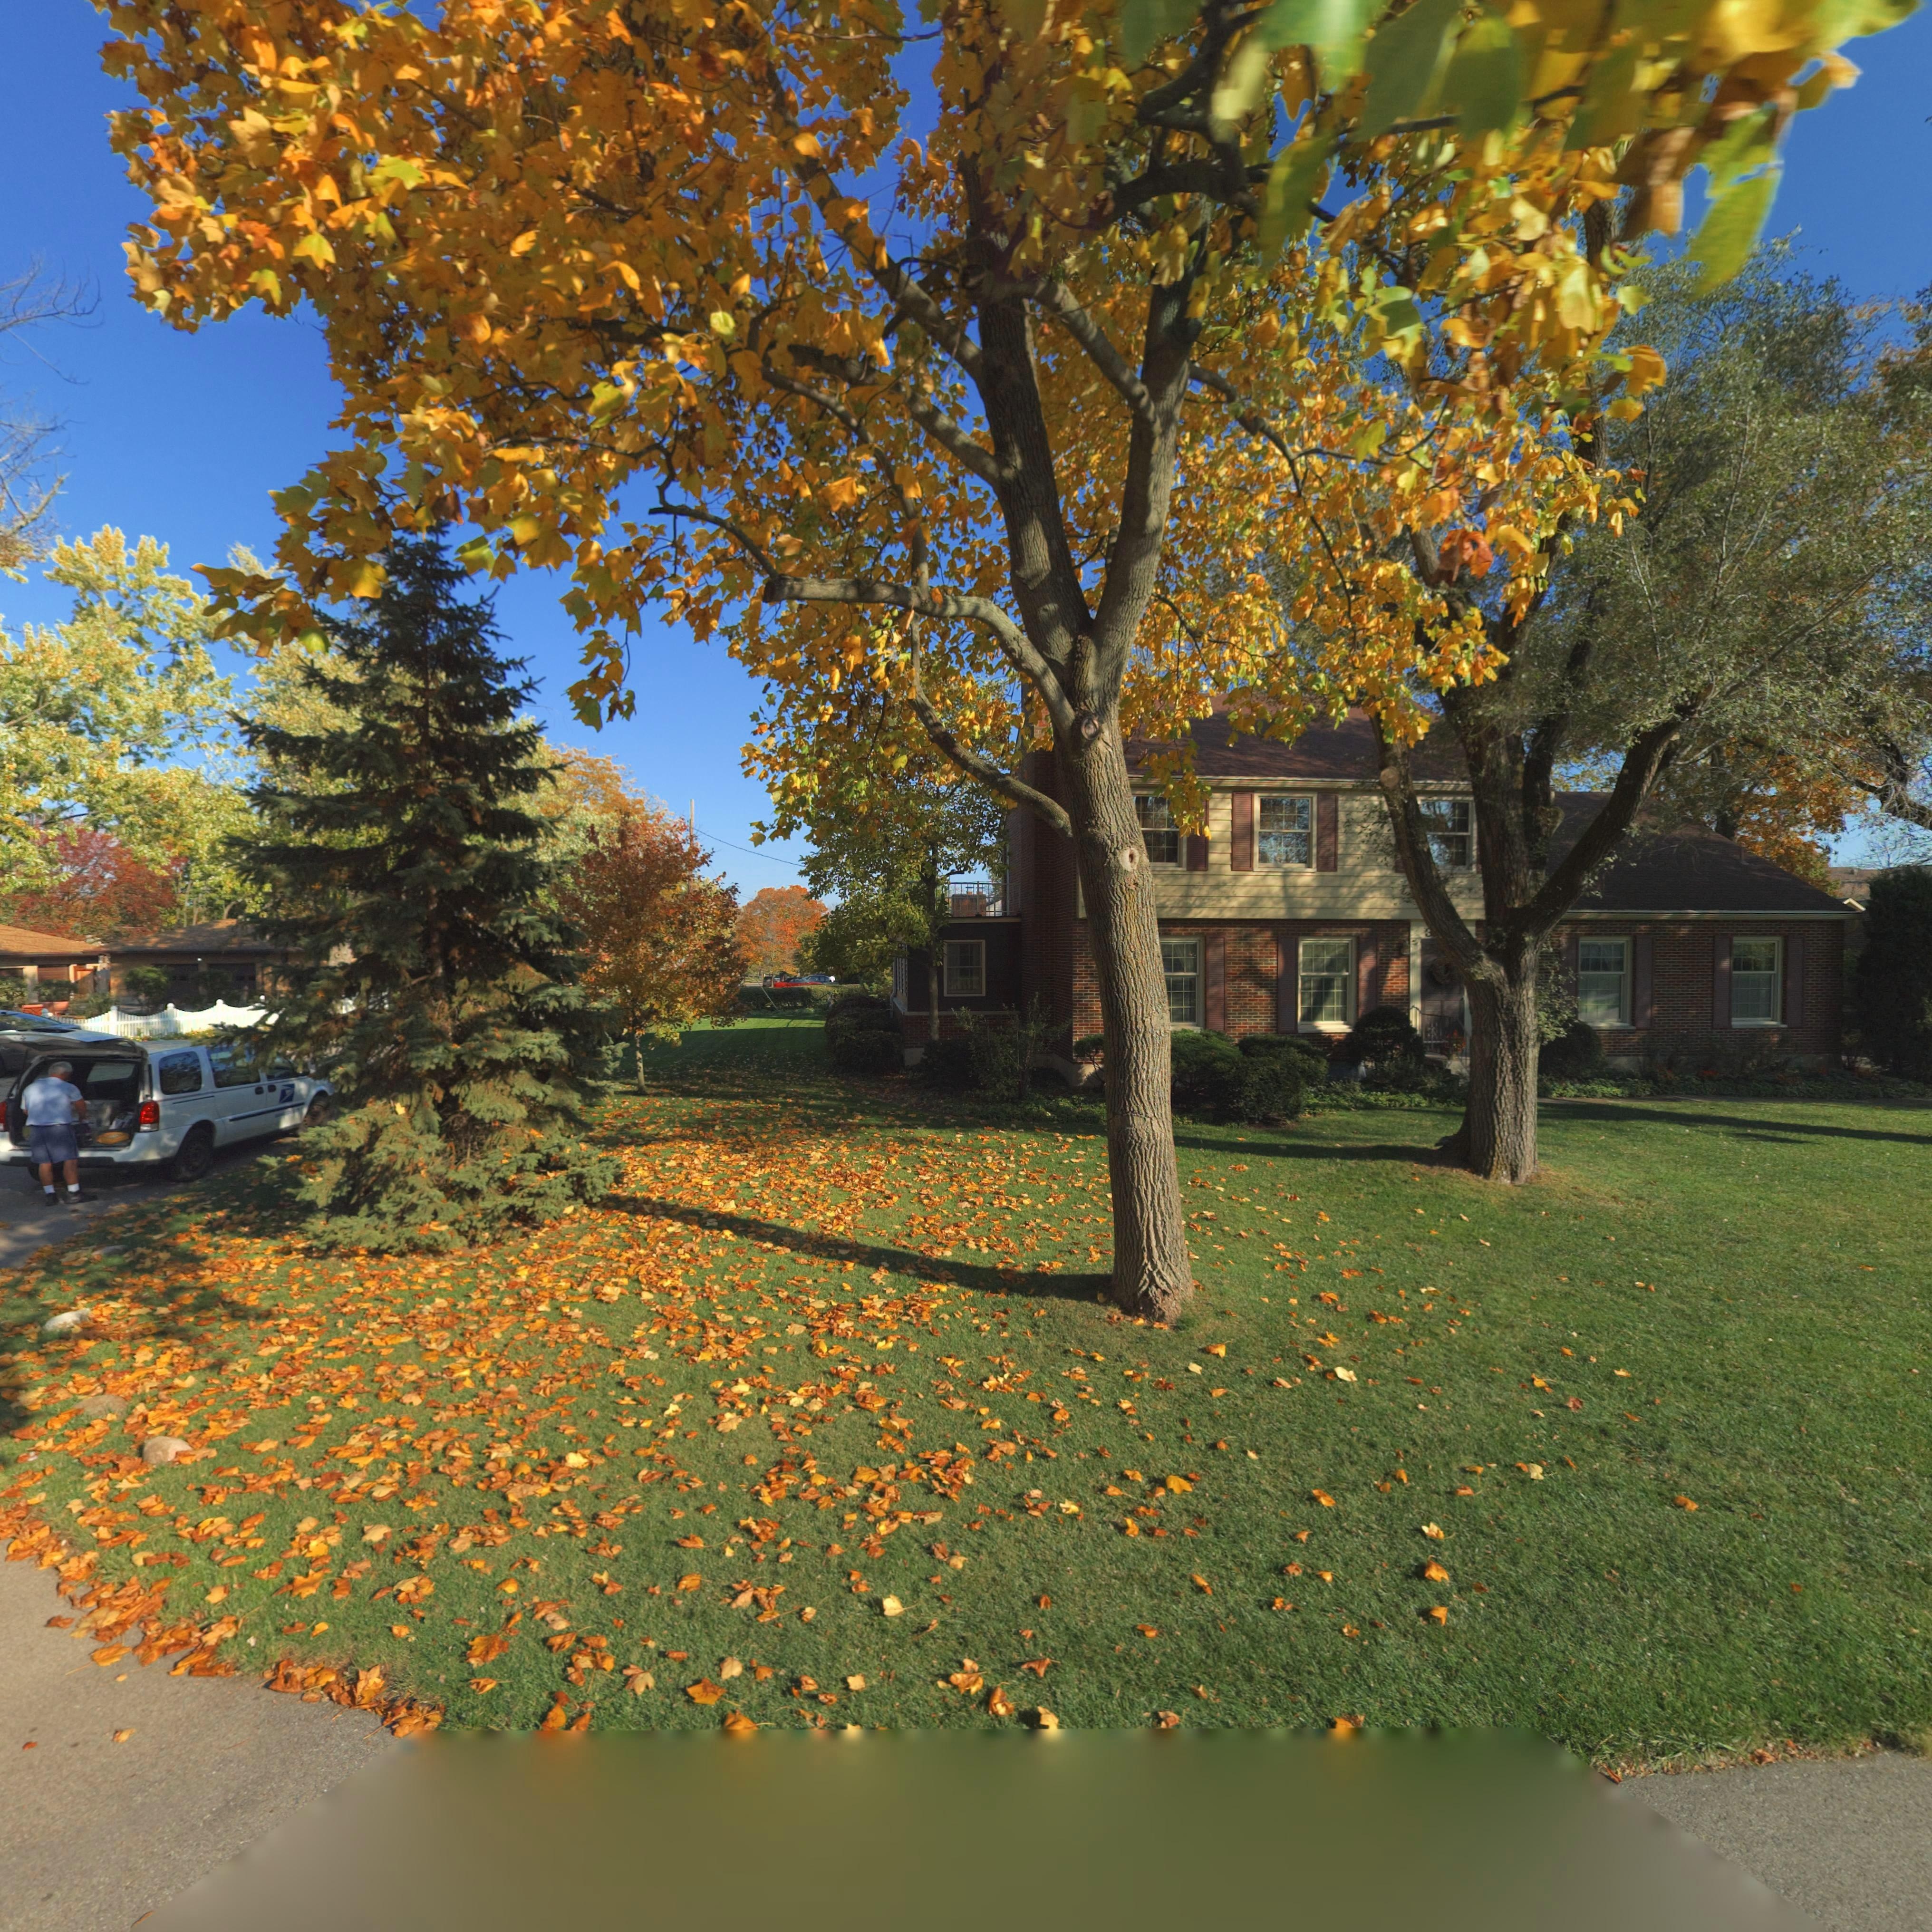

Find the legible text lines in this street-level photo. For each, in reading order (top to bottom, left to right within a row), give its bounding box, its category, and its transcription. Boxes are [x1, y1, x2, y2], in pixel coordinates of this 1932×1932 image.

[1425, 927, 1433, 937] StreetNumber: 3